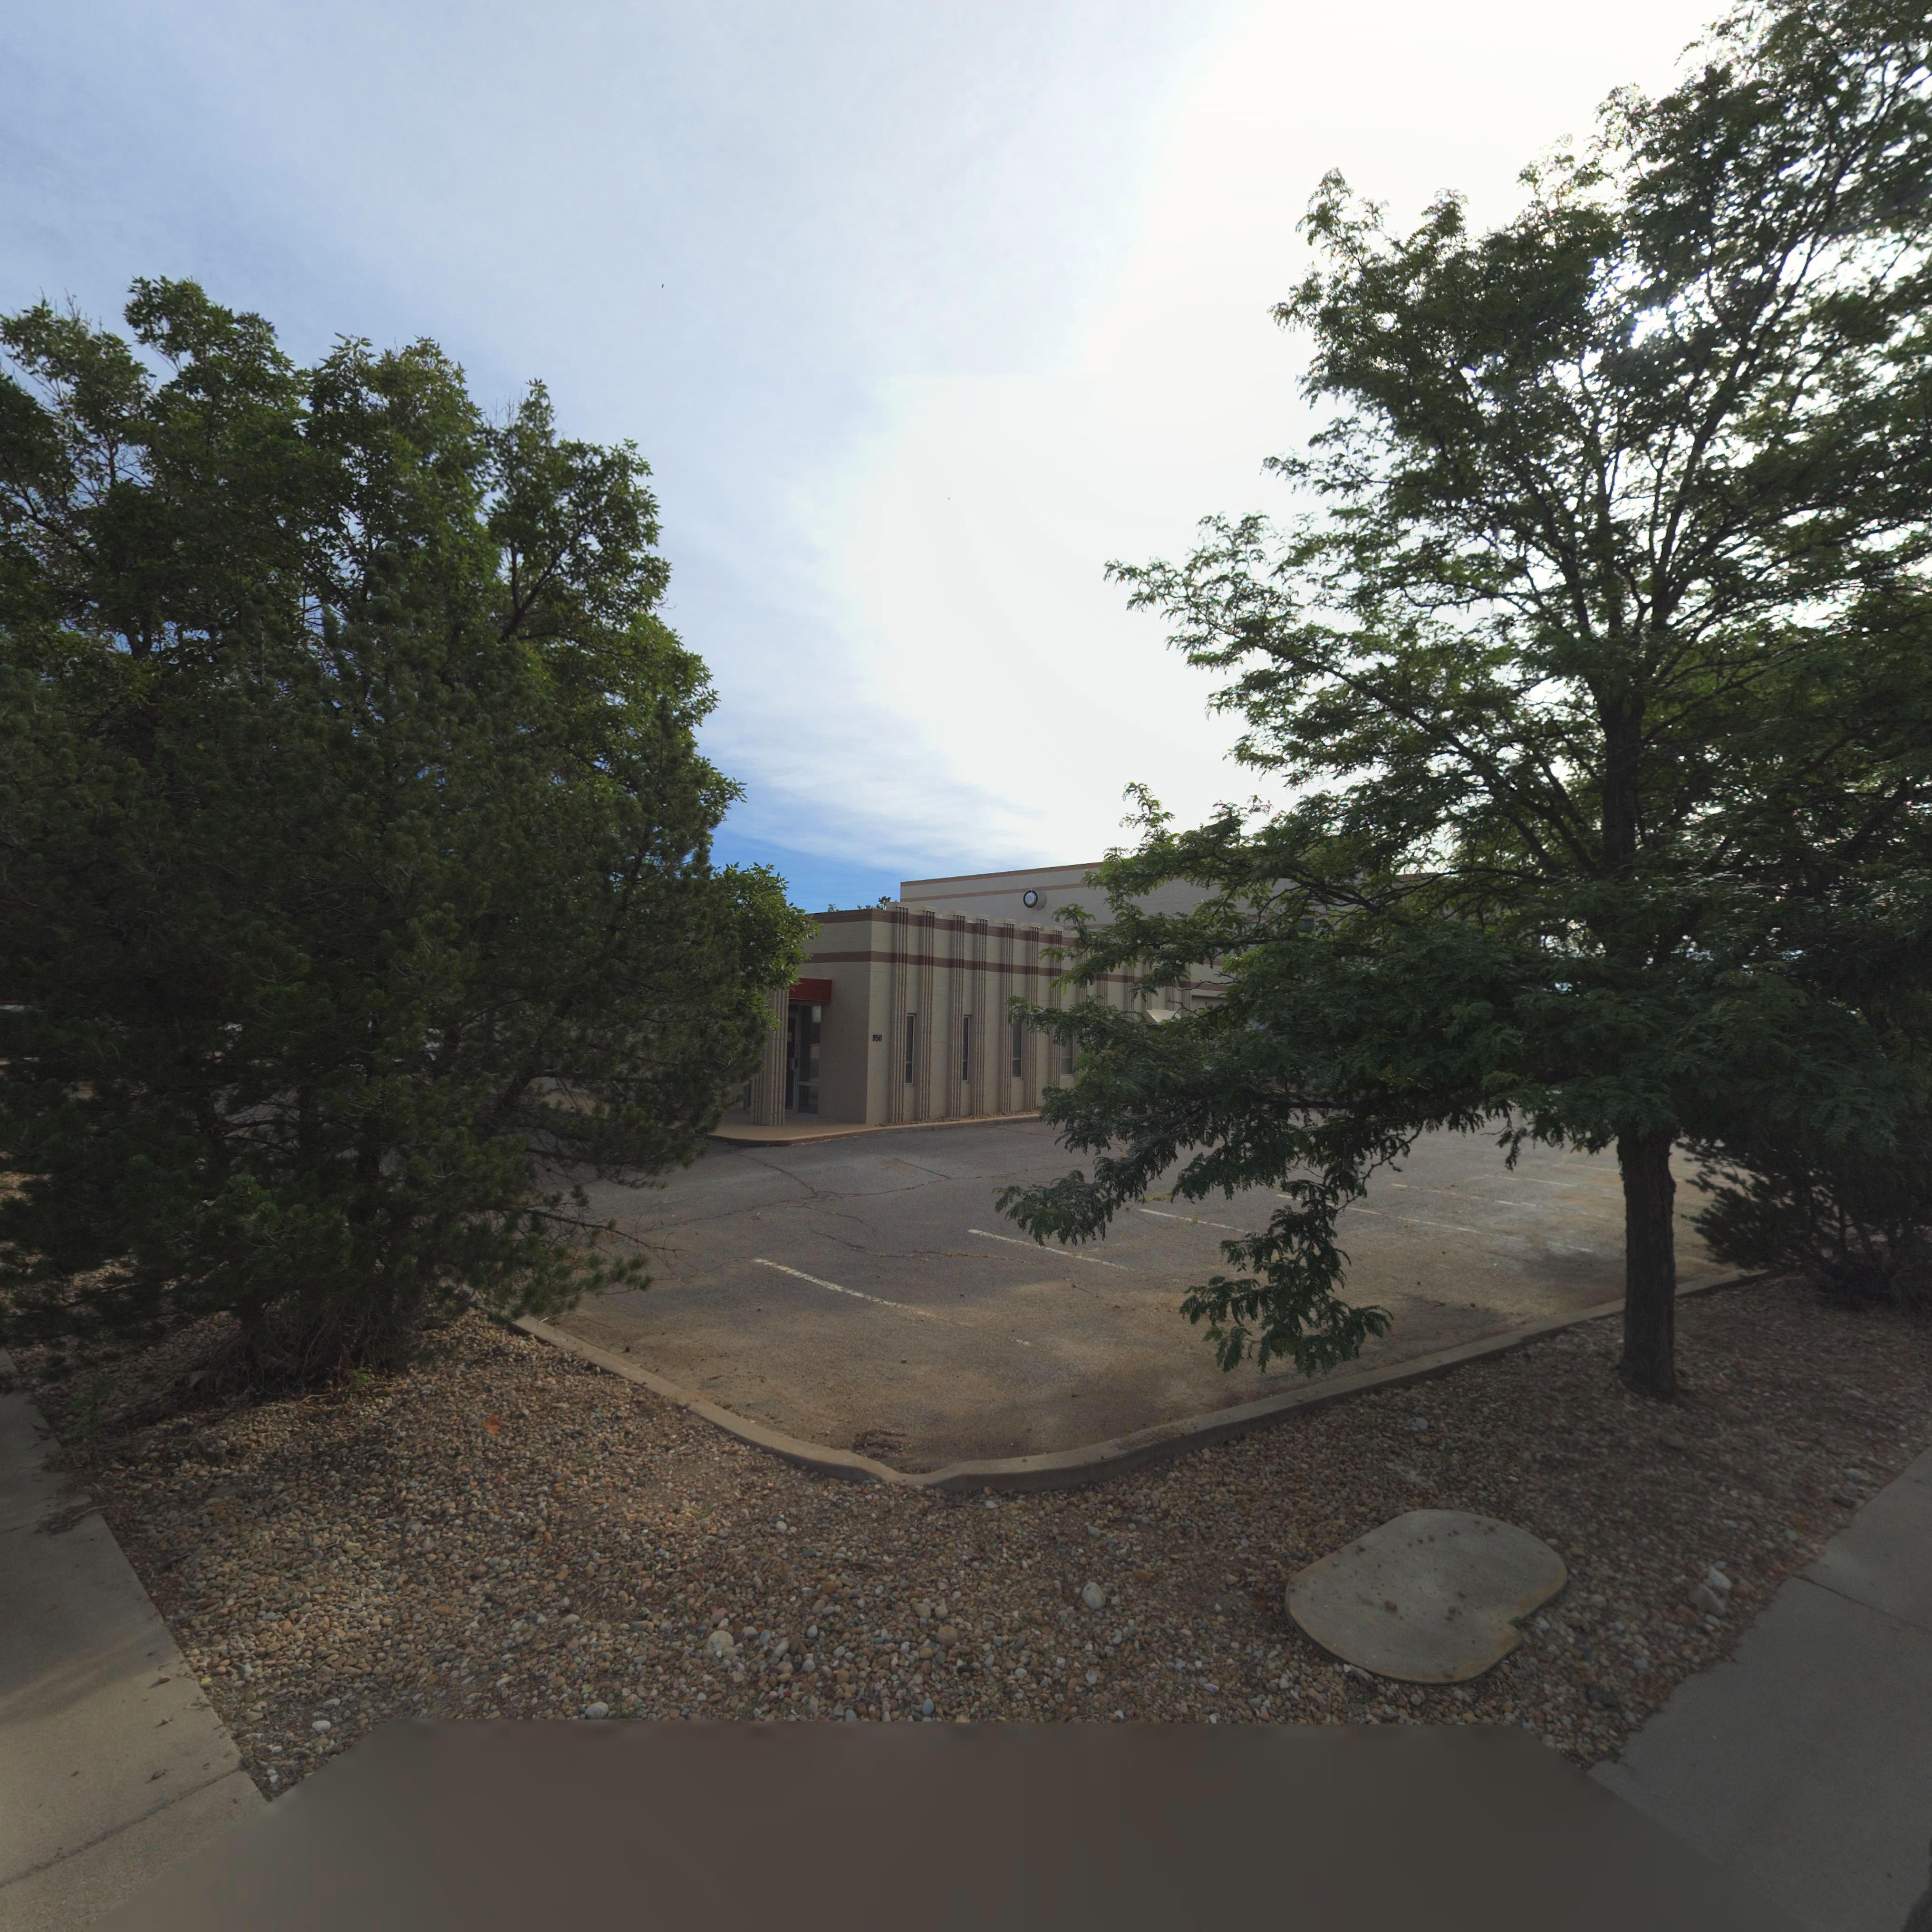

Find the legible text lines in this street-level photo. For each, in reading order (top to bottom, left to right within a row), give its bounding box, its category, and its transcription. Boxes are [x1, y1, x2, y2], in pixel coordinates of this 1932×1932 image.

[871, 1034, 882, 1042] StreetNumber: 950